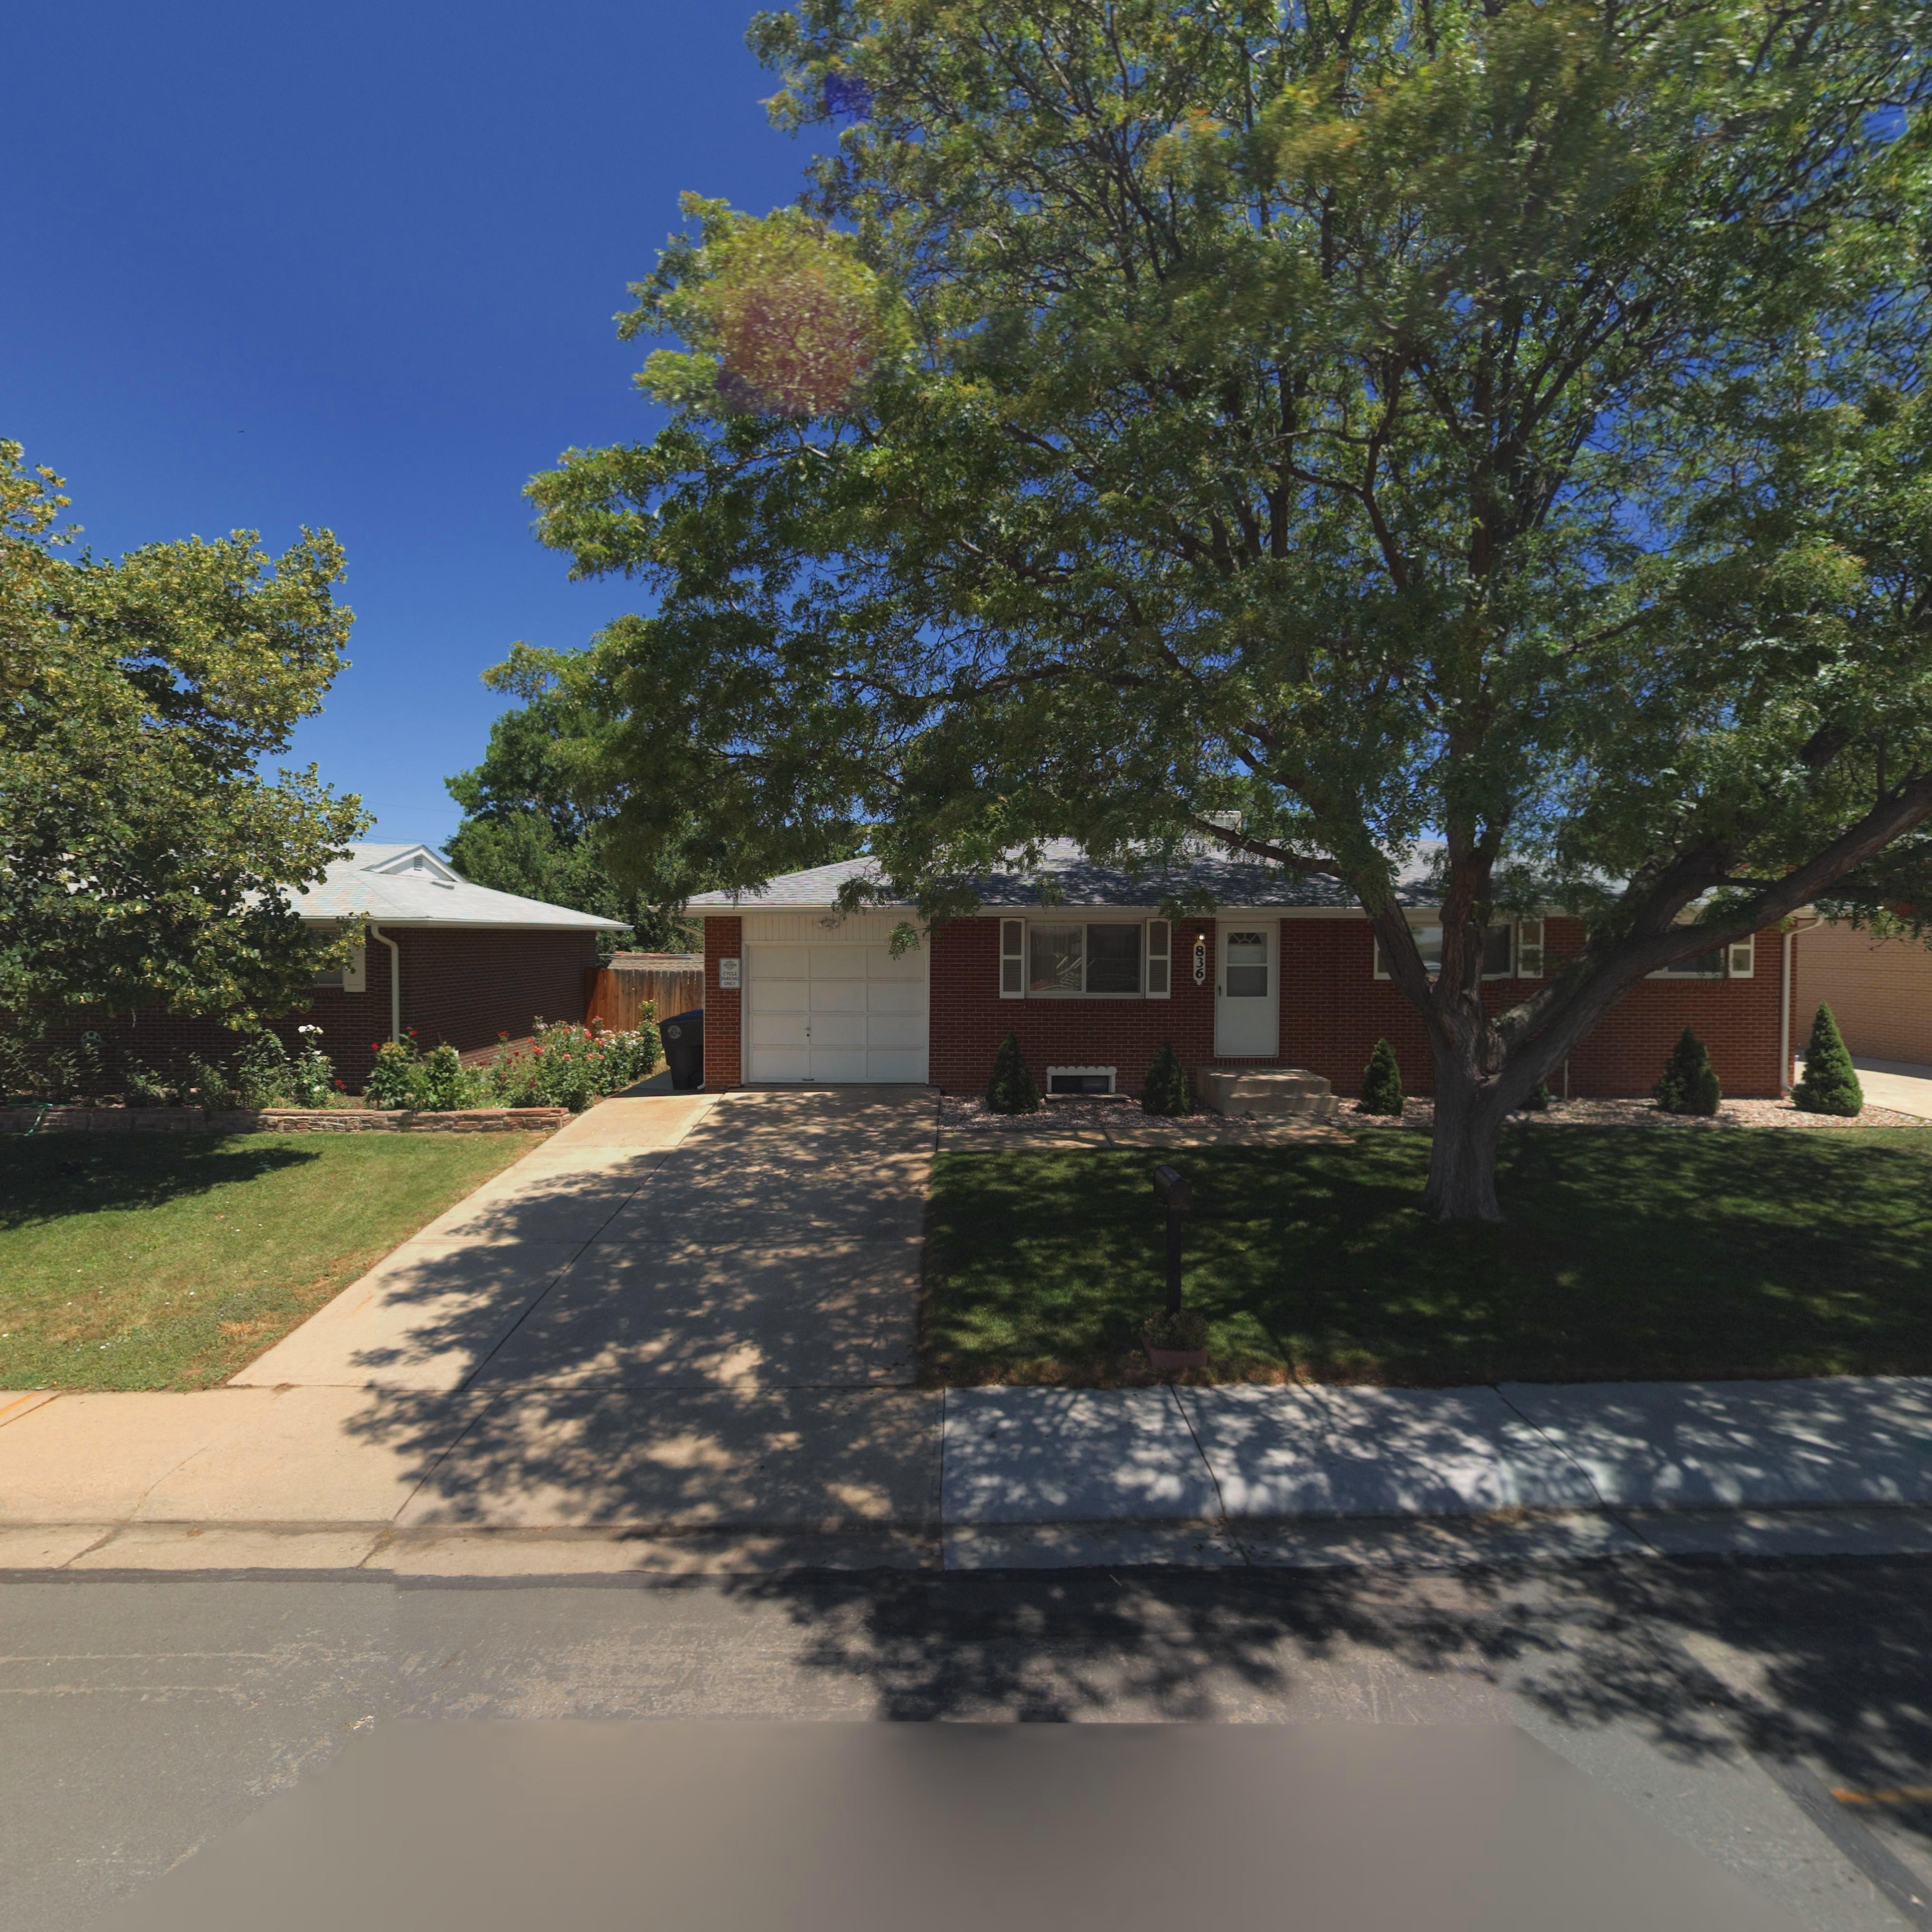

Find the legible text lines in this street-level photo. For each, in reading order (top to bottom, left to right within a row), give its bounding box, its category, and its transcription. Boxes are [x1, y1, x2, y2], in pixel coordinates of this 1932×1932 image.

[1195, 945, 1204, 979] StreetNumber: 836